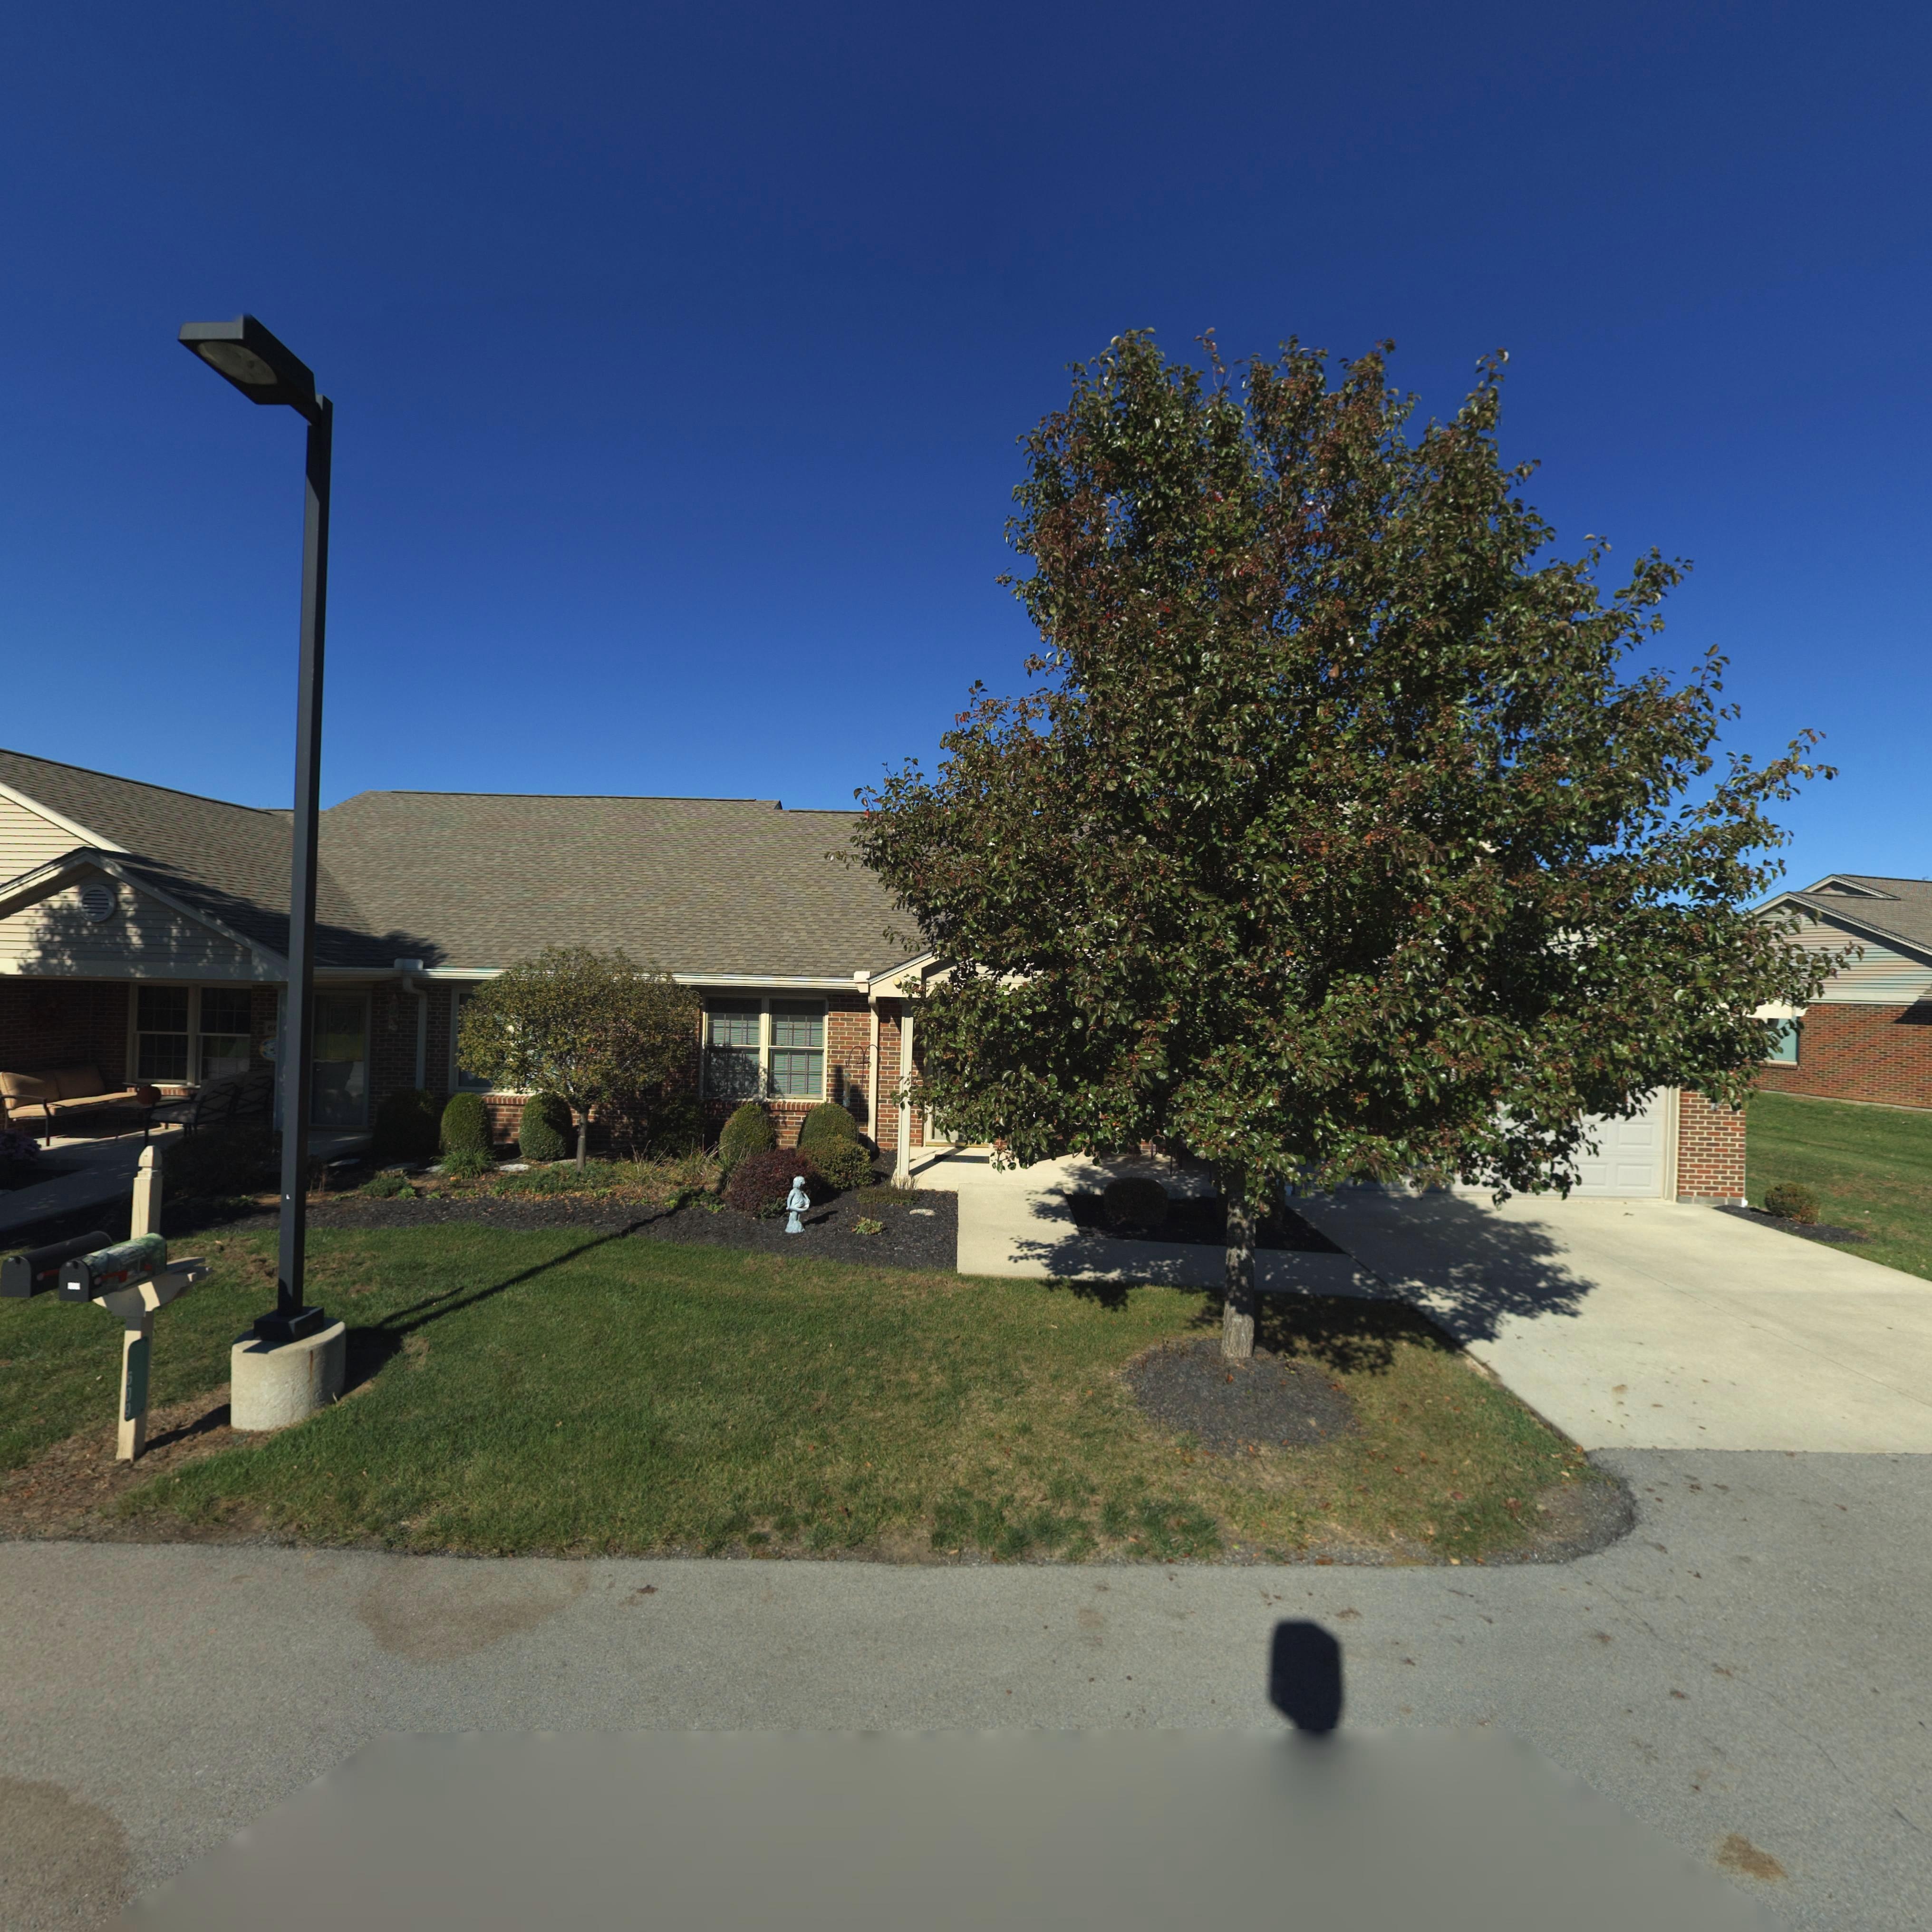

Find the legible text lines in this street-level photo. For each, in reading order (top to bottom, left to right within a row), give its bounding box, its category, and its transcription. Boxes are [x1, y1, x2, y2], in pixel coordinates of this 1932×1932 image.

[267, 1024, 273, 1032] StreetNumber: 6
[125, 1370, 133, 1419] StreetNumber: 609